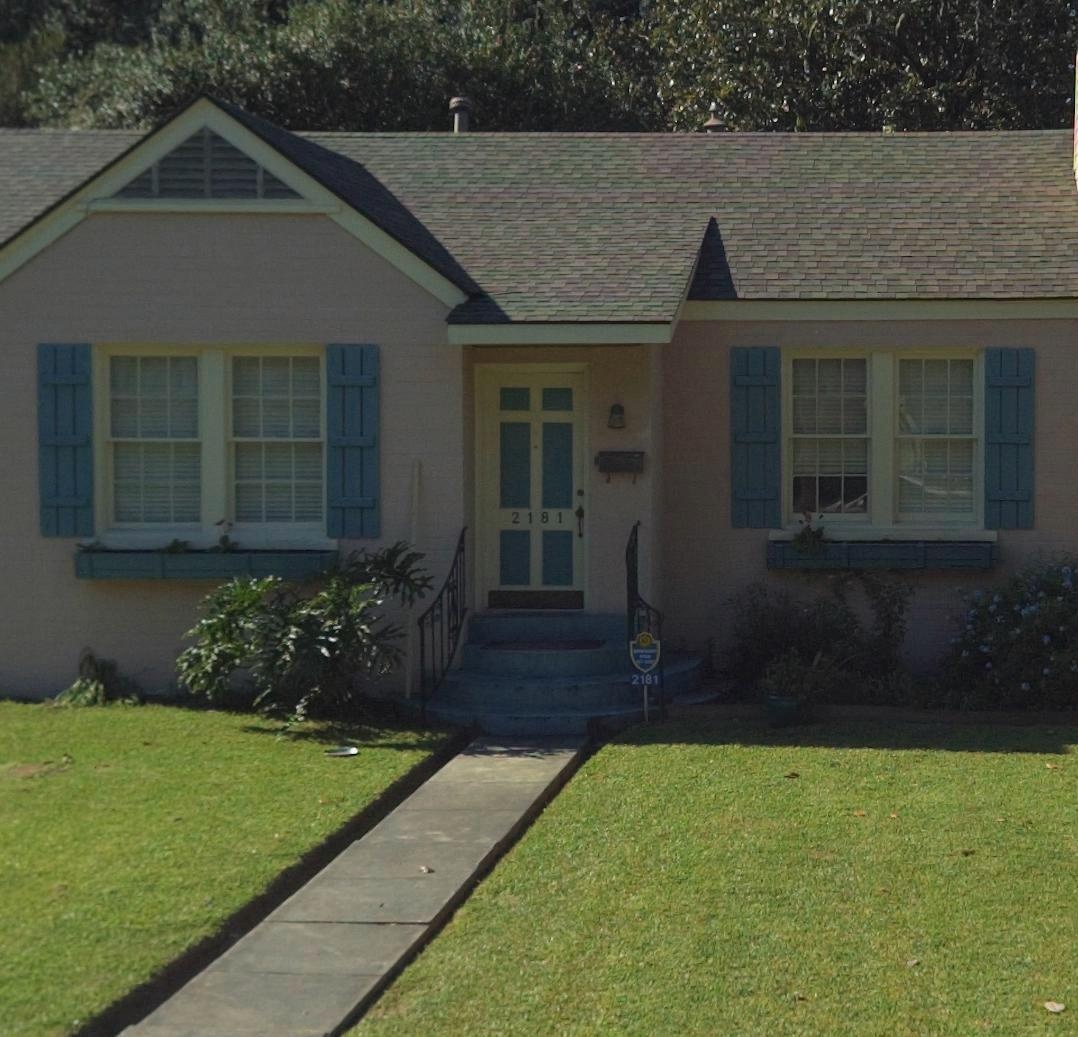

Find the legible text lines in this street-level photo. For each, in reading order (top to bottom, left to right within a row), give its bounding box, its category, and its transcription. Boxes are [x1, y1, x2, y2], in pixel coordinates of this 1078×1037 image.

[510, 509, 564, 526] StreetNumber: 2181
[630, 673, 660, 686] StreetNumber: 2181